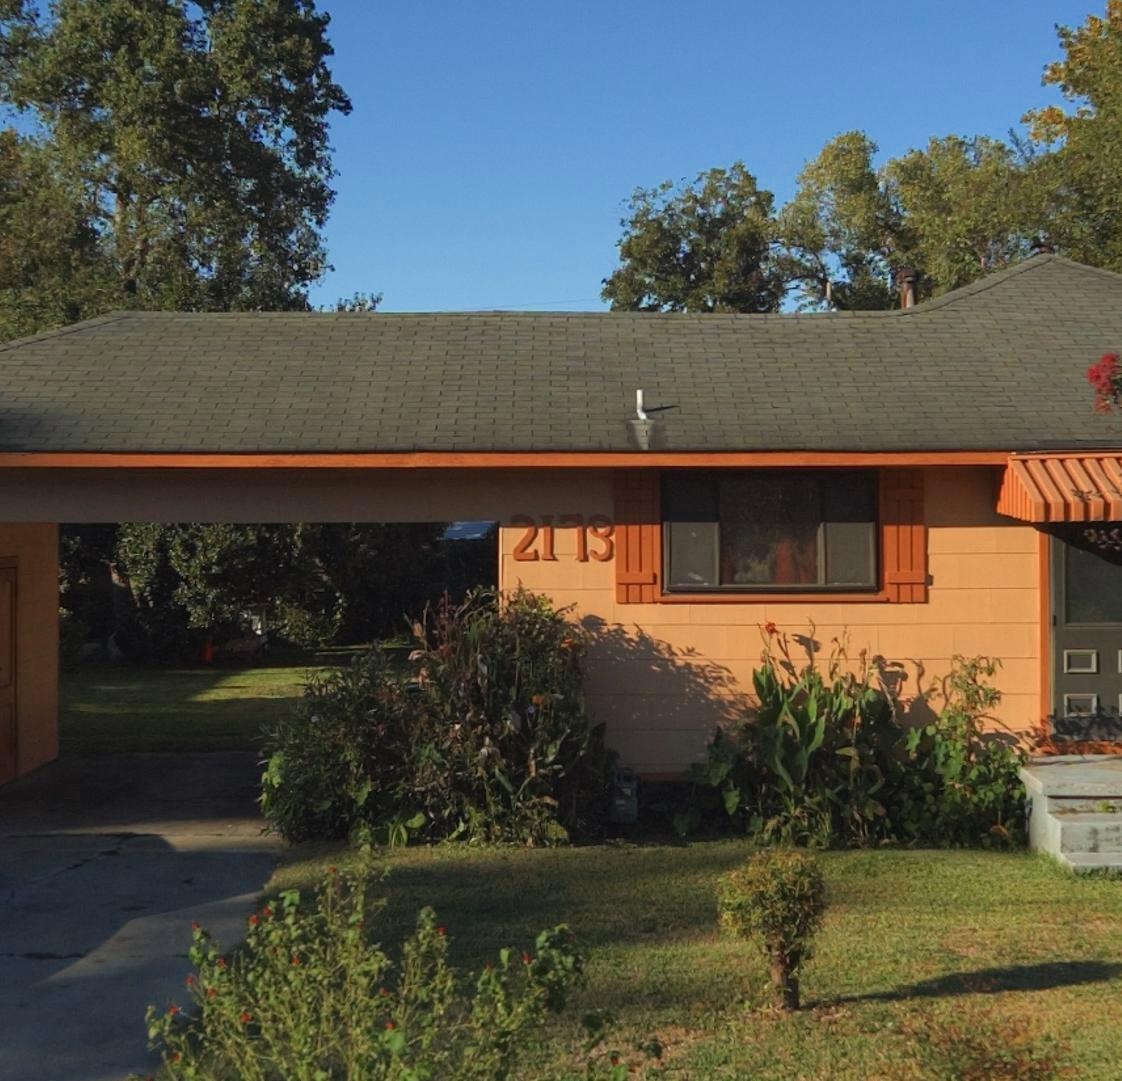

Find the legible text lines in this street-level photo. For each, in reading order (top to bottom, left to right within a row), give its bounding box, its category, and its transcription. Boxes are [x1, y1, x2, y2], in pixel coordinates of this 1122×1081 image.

[512, 512, 615, 563] StreetNumber: 2173